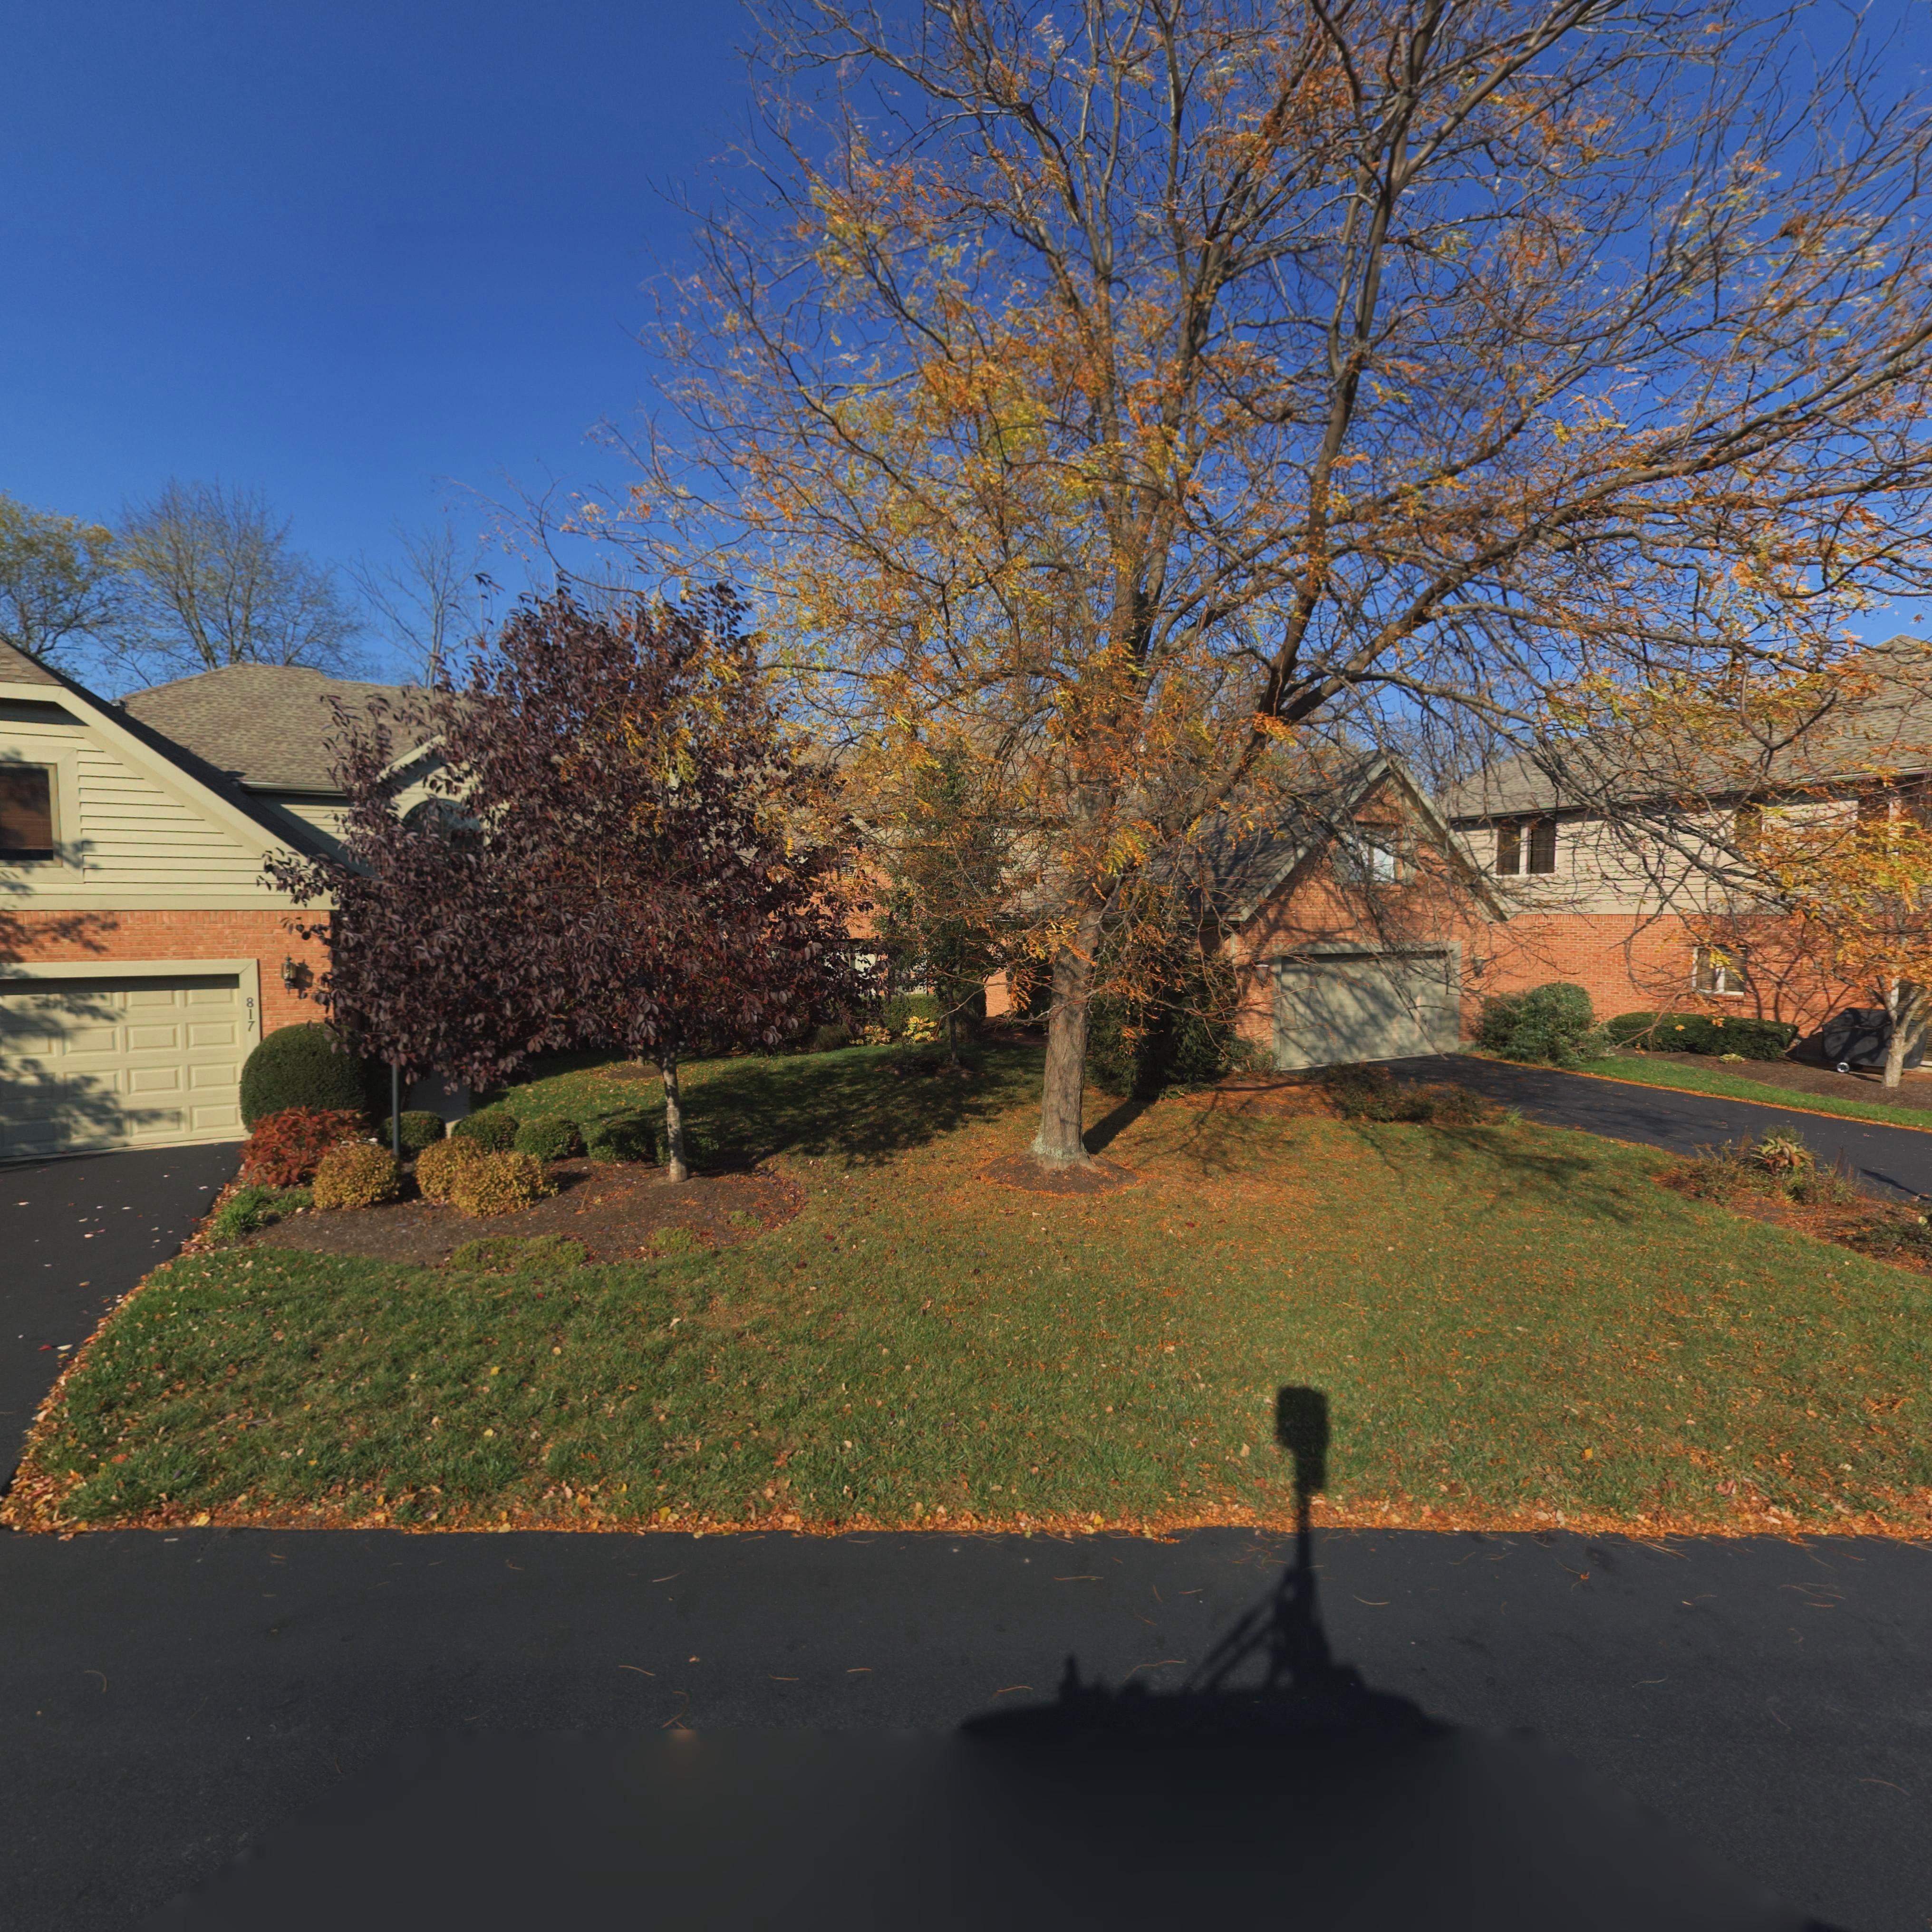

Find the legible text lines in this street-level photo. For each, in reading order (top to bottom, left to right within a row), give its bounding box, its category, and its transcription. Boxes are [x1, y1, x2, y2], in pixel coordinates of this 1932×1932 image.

[244, 995, 257, 1033] StreetNumber: 817